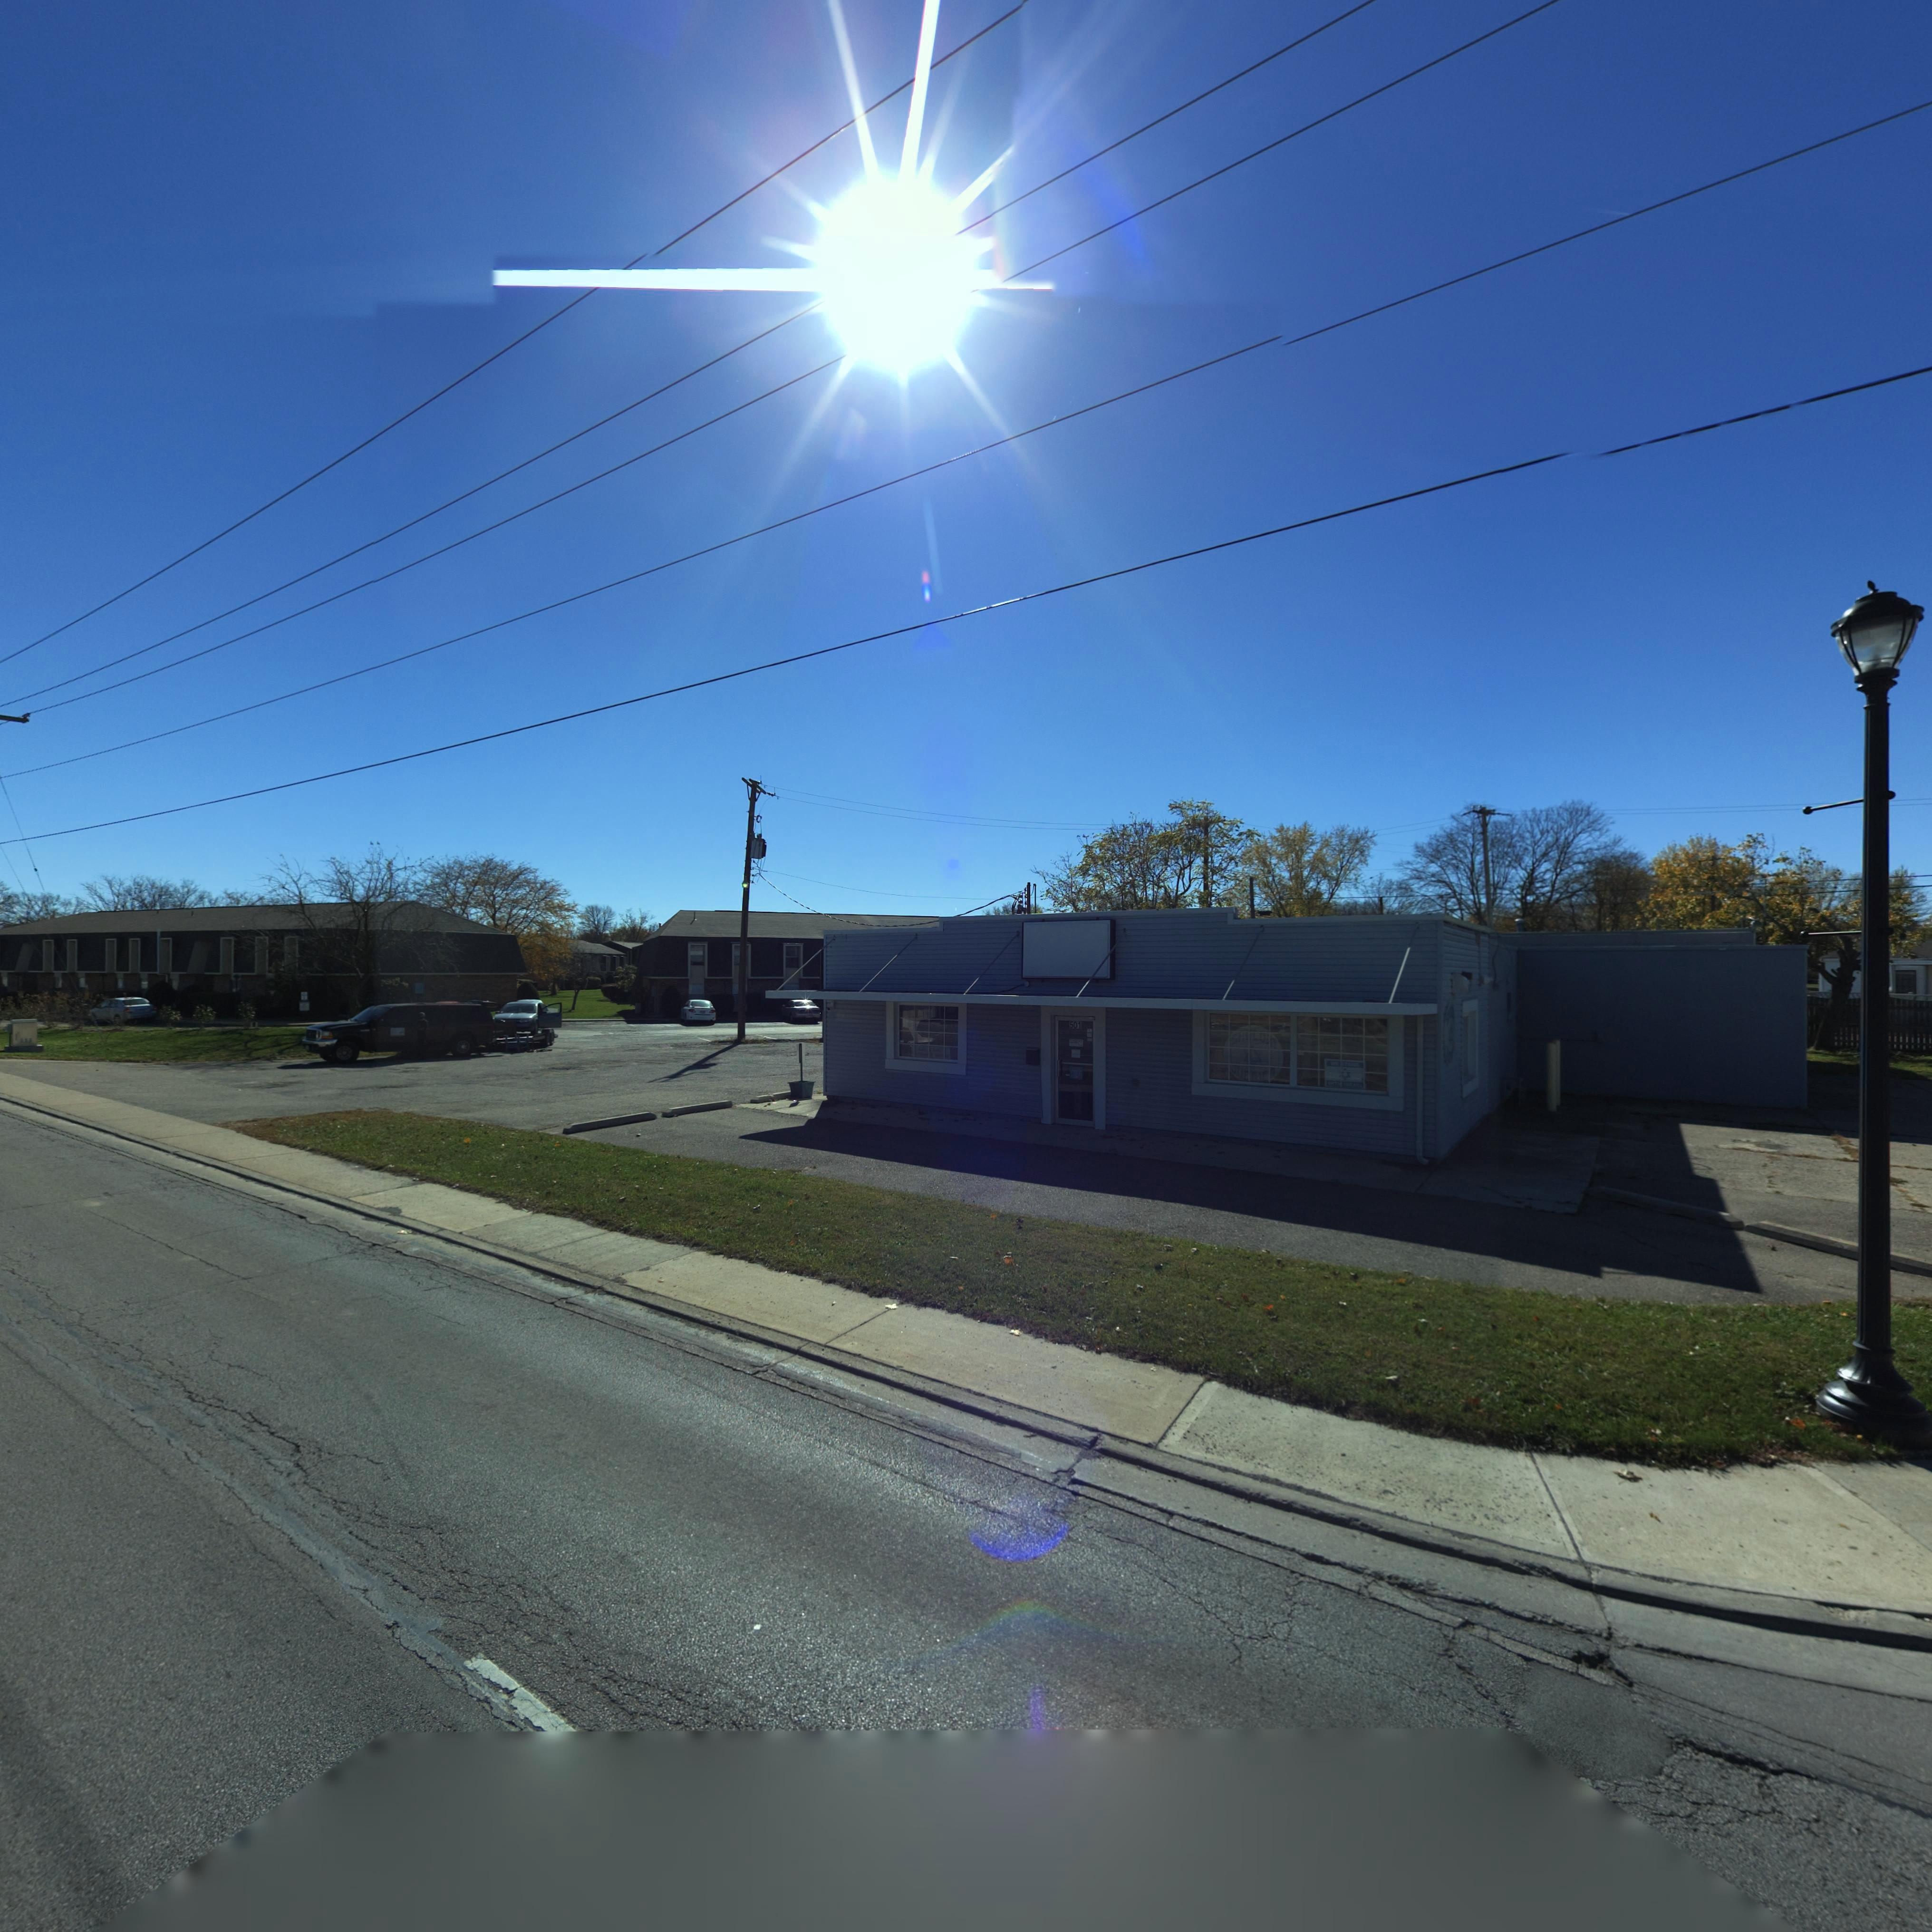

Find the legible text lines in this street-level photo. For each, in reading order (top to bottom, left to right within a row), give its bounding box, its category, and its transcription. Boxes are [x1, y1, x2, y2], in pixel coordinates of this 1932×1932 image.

[1069, 1021, 1081, 1030] StreetNumber: 501